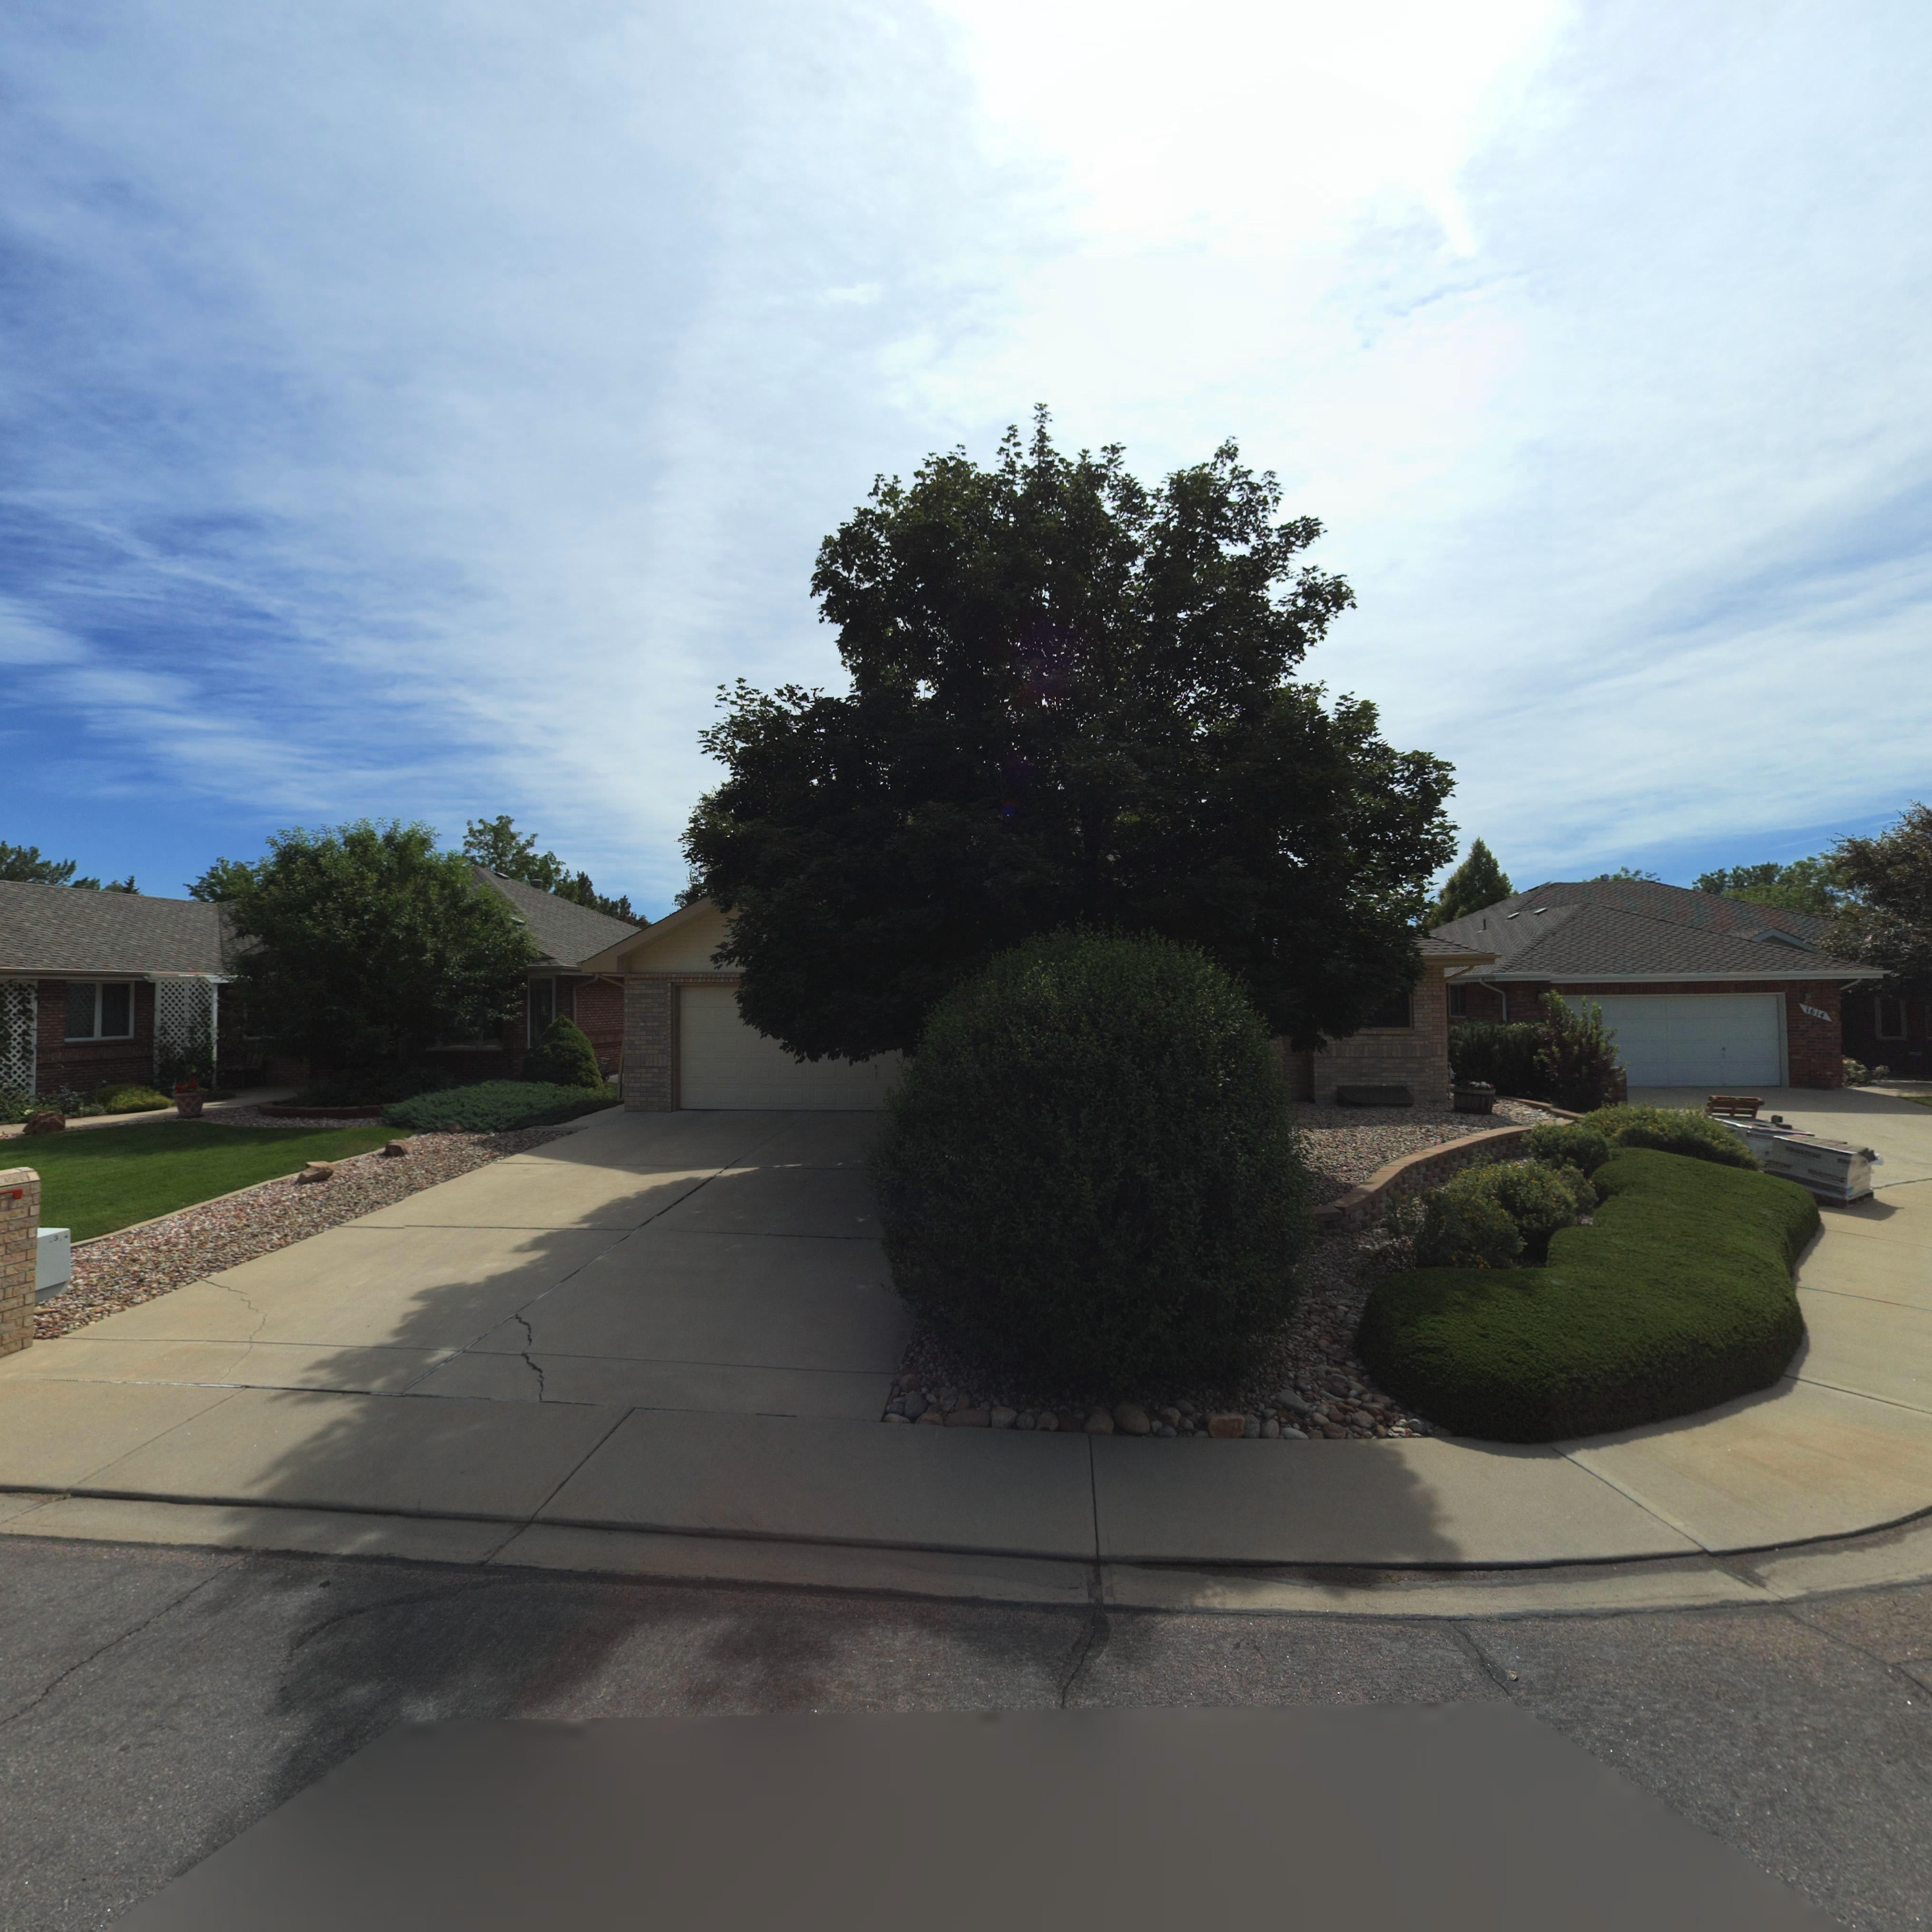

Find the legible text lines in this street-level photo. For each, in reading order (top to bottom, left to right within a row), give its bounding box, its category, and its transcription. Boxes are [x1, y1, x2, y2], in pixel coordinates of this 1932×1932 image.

[1806, 1006, 1825, 1018] StreetNumber: 1614